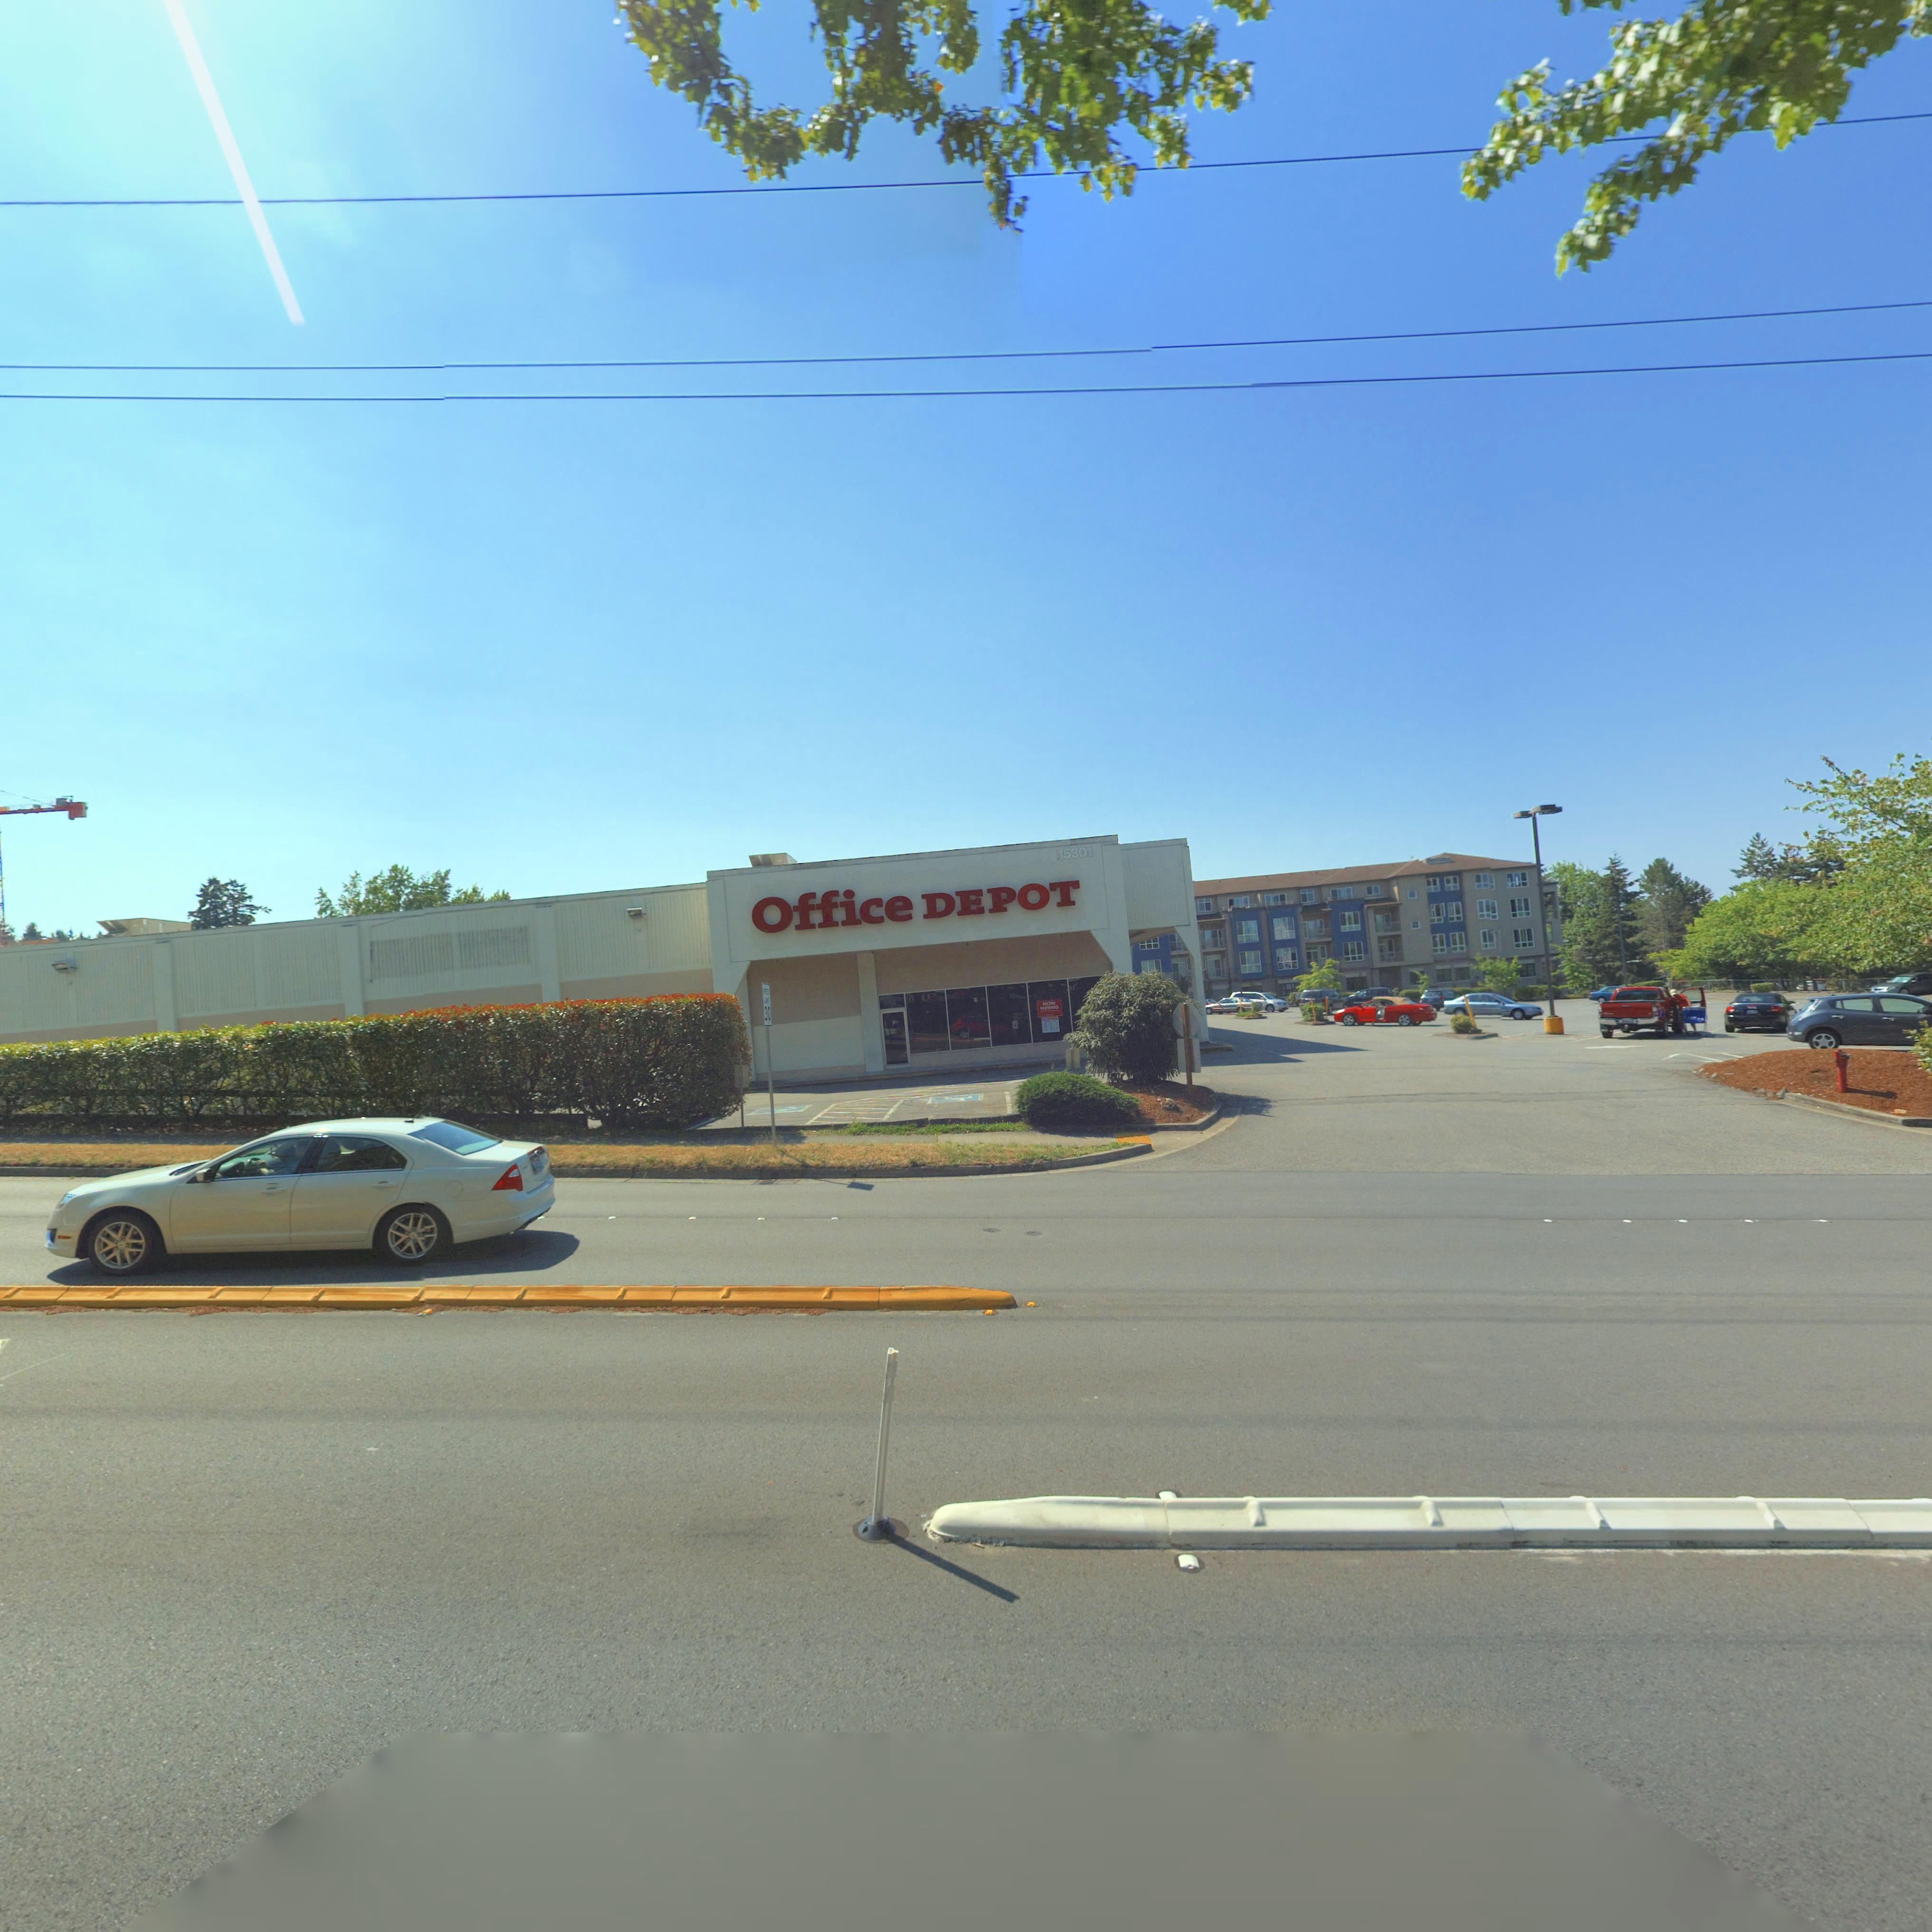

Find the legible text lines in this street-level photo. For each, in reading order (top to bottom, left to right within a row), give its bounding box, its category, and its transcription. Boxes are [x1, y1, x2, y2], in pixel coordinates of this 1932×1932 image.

[751, 880, 1081, 934] BusinessName: Office DEPOT